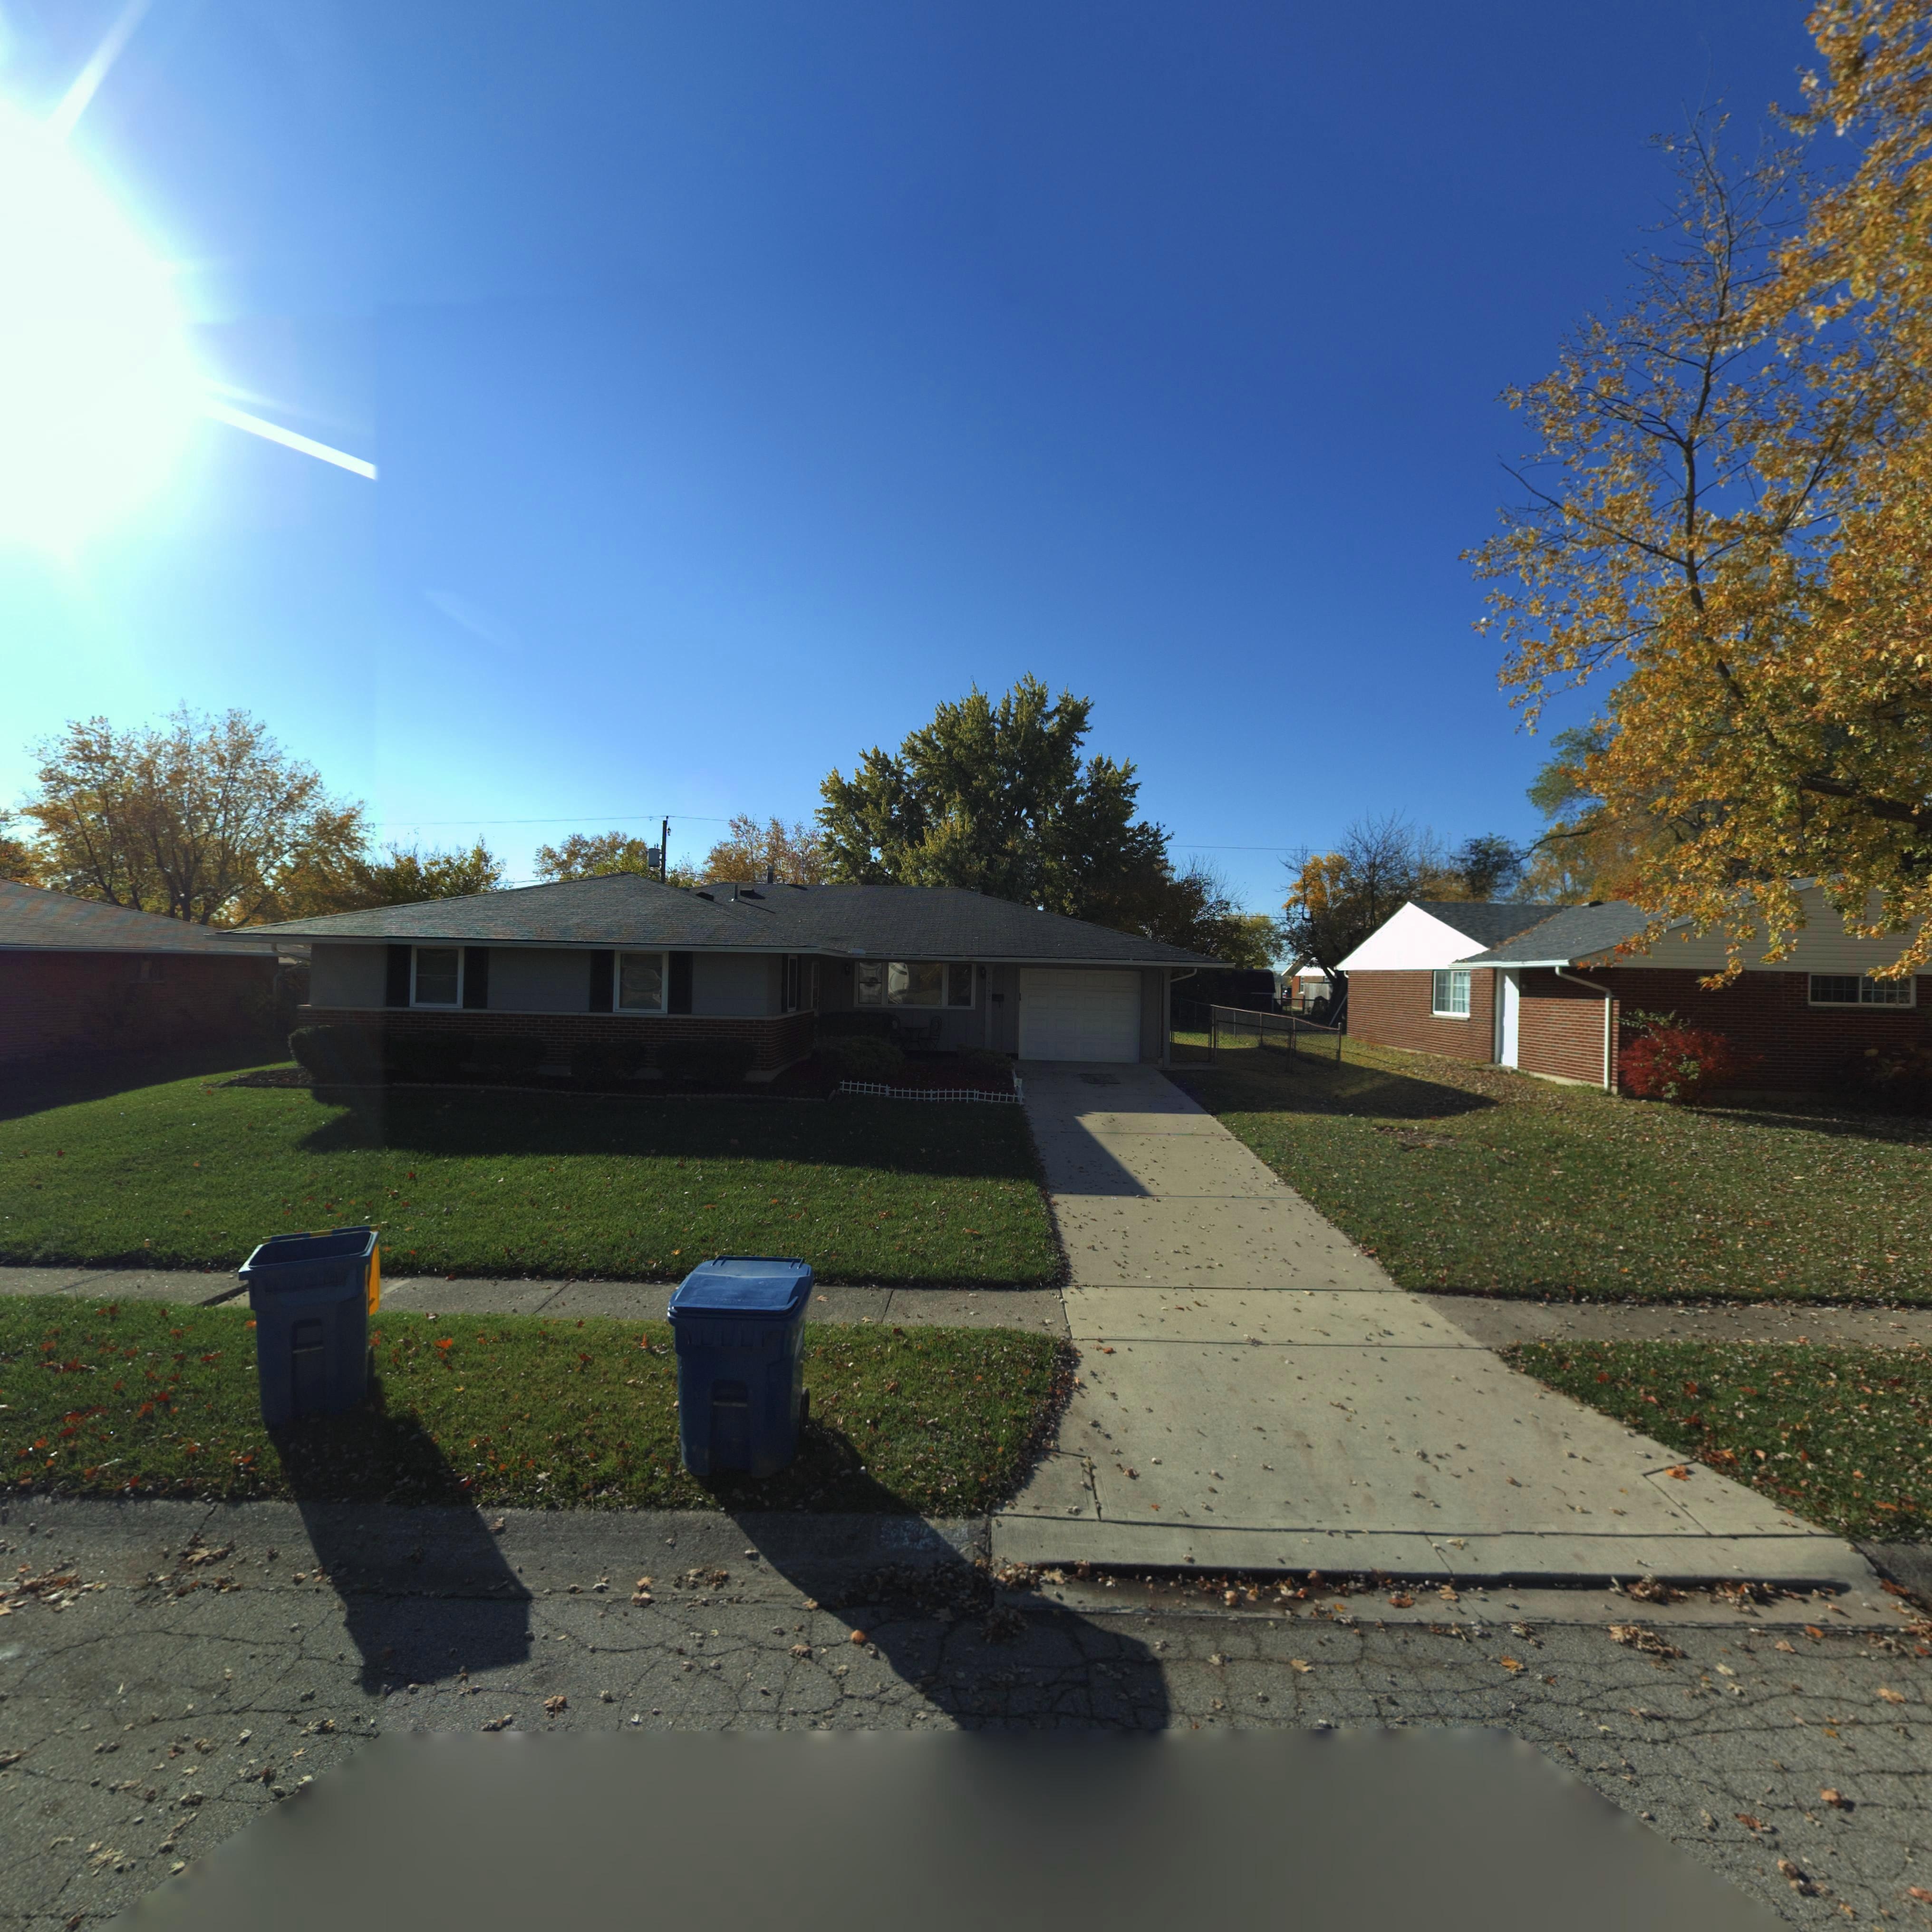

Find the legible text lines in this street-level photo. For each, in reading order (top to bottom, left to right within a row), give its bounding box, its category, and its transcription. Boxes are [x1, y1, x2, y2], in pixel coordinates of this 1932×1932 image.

[986, 973, 992, 1000] StreetNumber: 7842